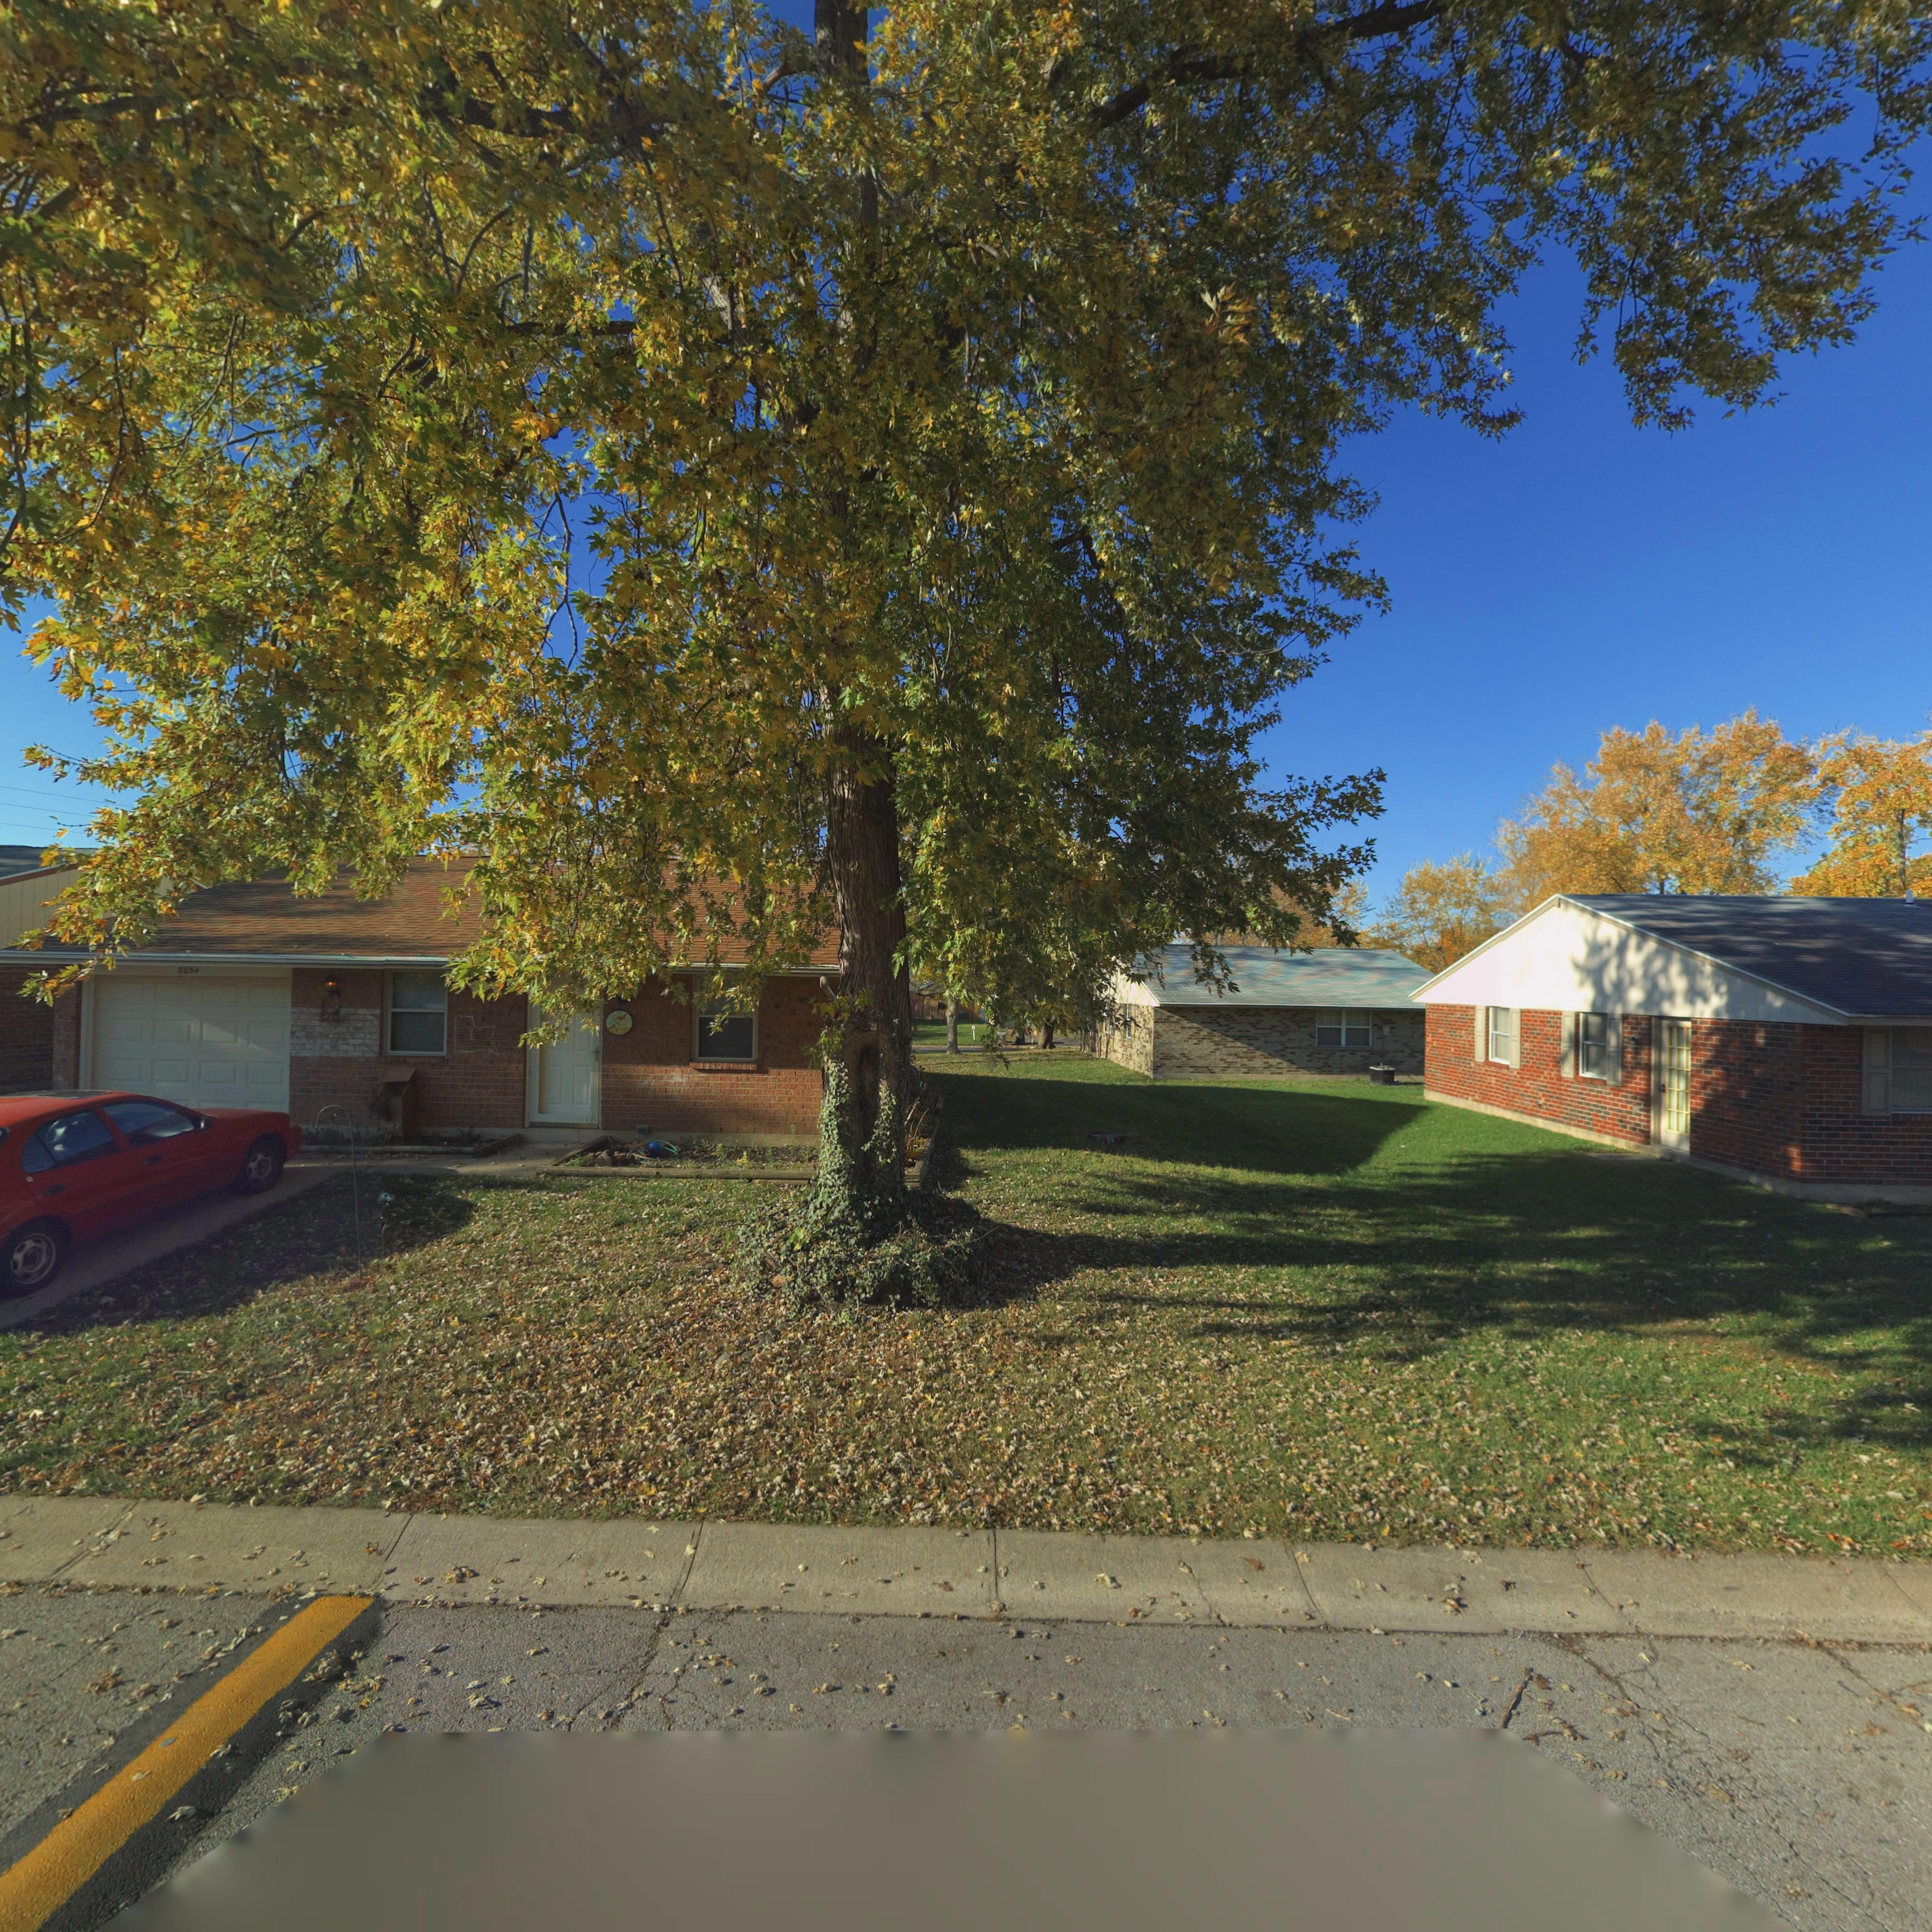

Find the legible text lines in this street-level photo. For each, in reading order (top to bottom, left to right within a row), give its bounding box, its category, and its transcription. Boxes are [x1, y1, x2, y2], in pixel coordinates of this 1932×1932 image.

[176, 965, 200, 975] StreetNumber: 8054